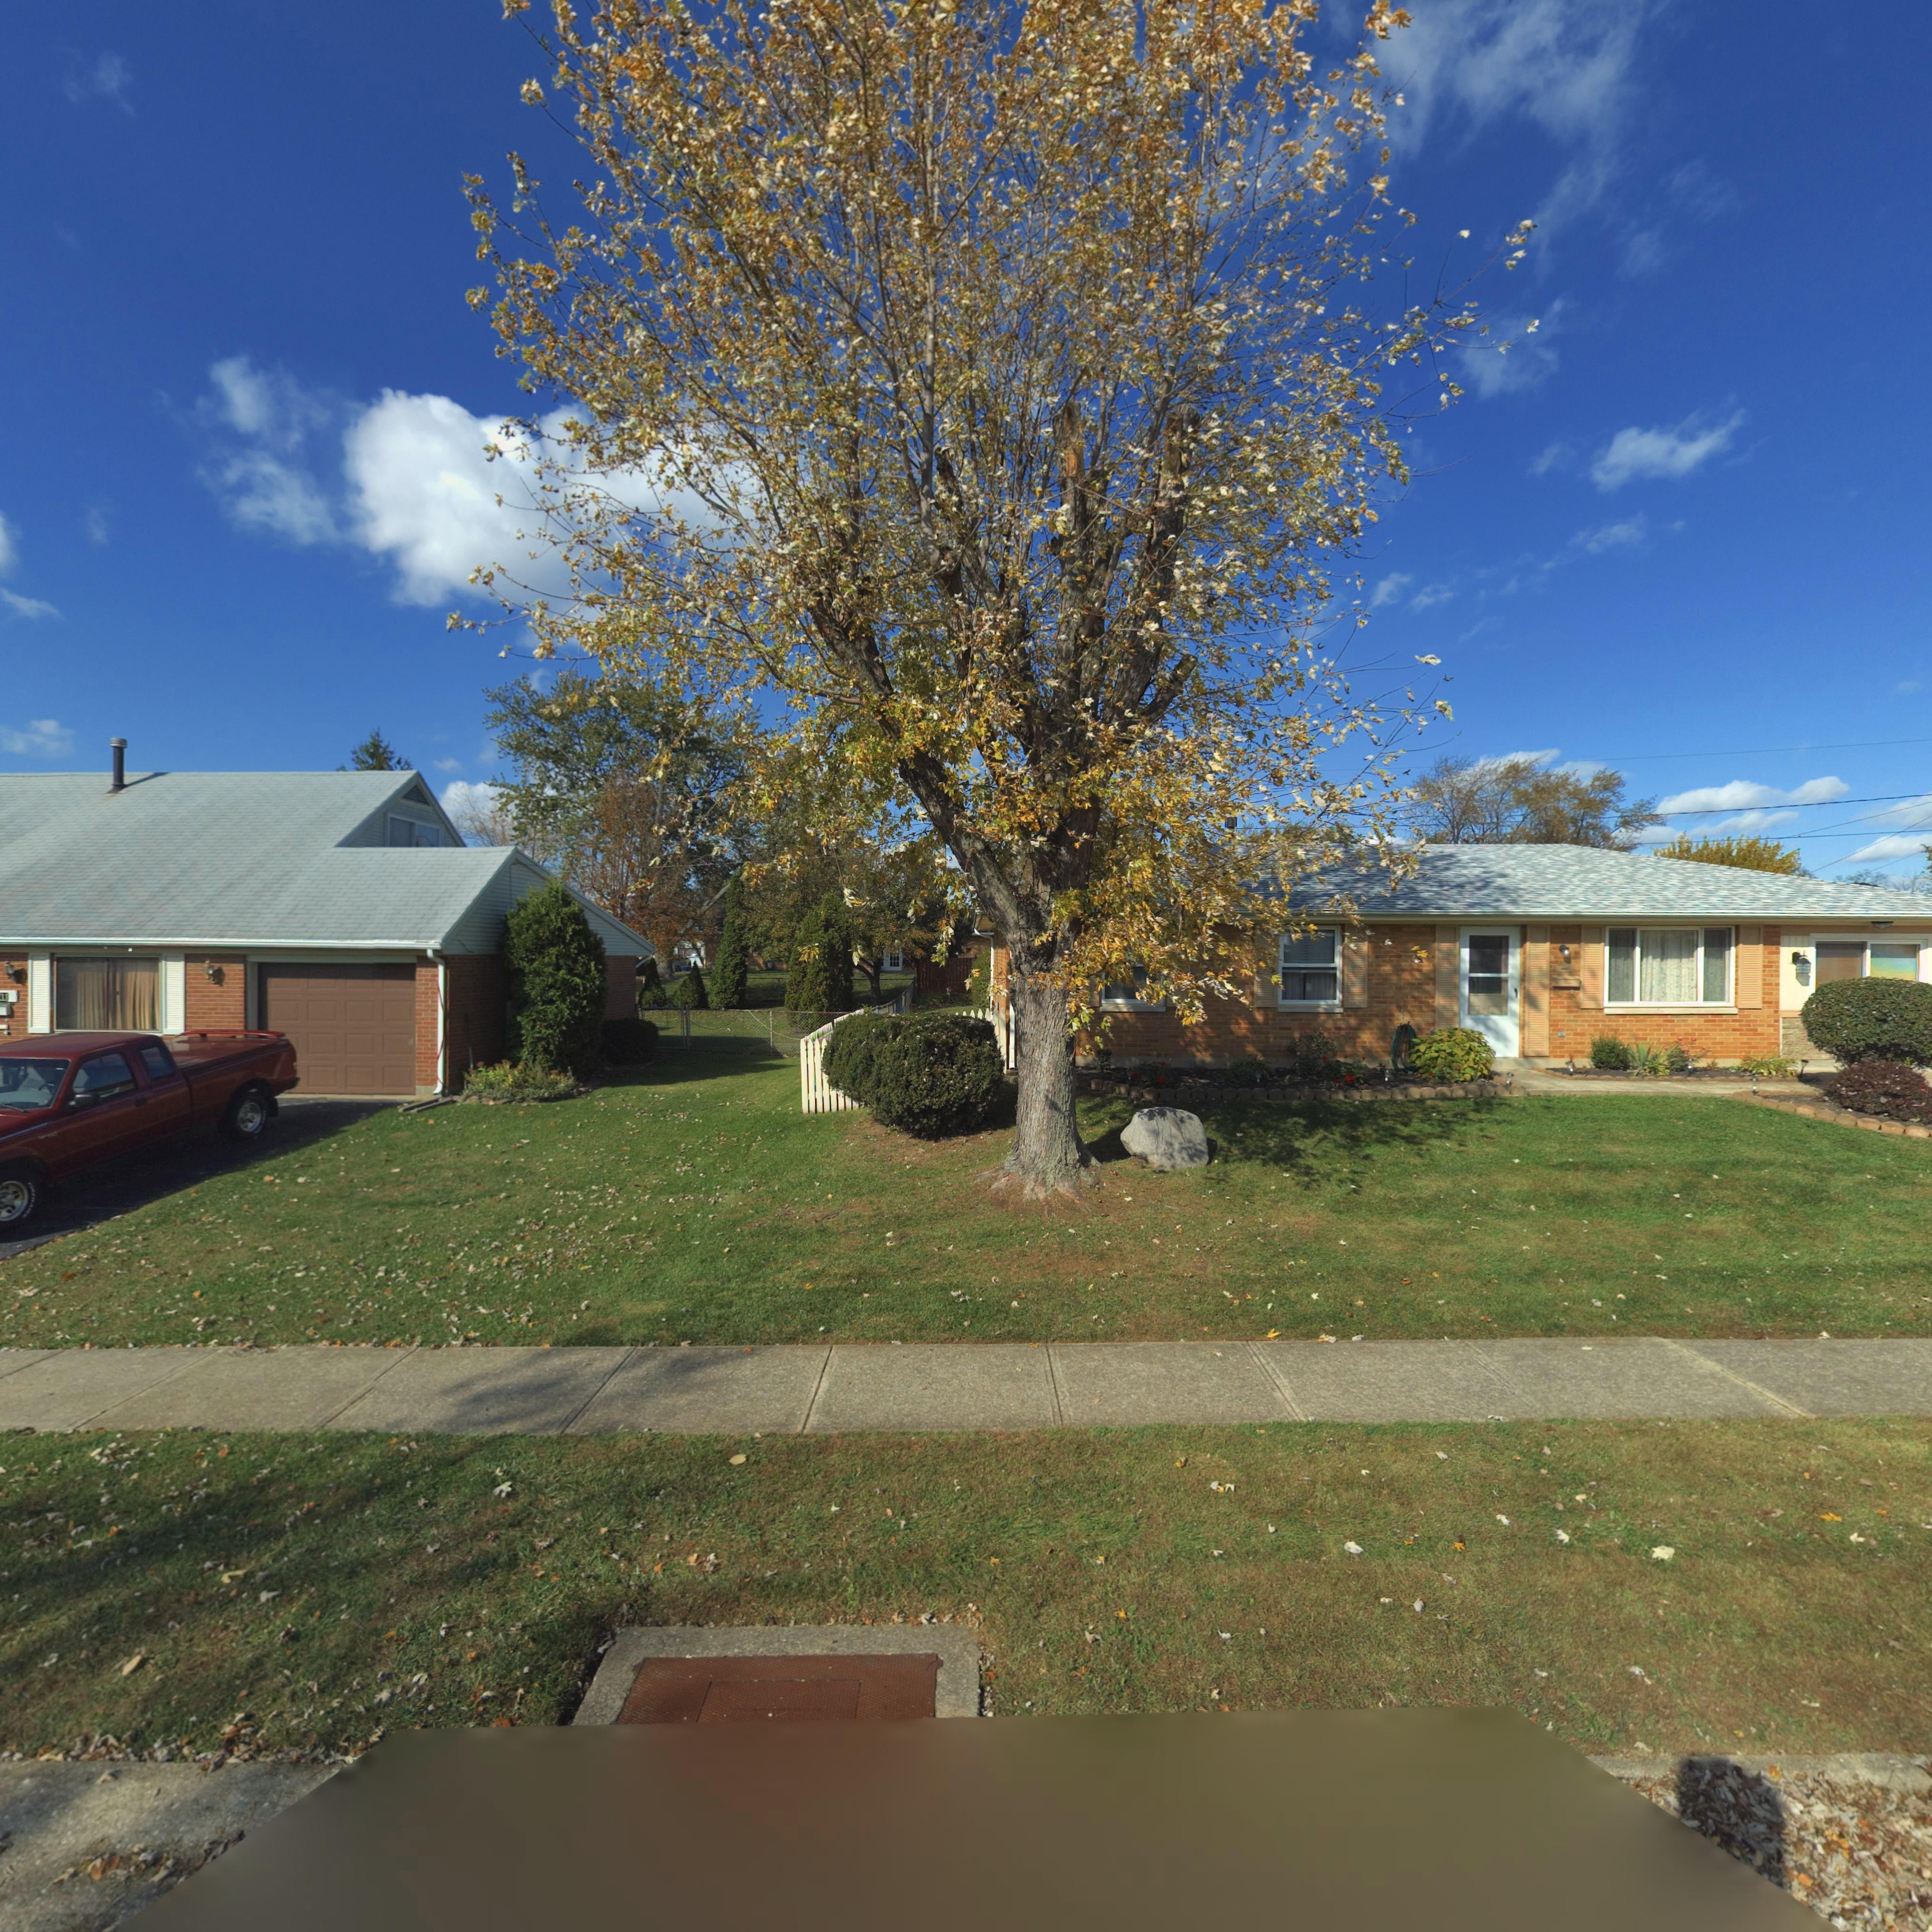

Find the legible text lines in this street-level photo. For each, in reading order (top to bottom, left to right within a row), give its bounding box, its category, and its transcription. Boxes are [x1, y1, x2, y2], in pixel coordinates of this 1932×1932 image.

[0, 993, 9, 1000] StreetNumber: *1